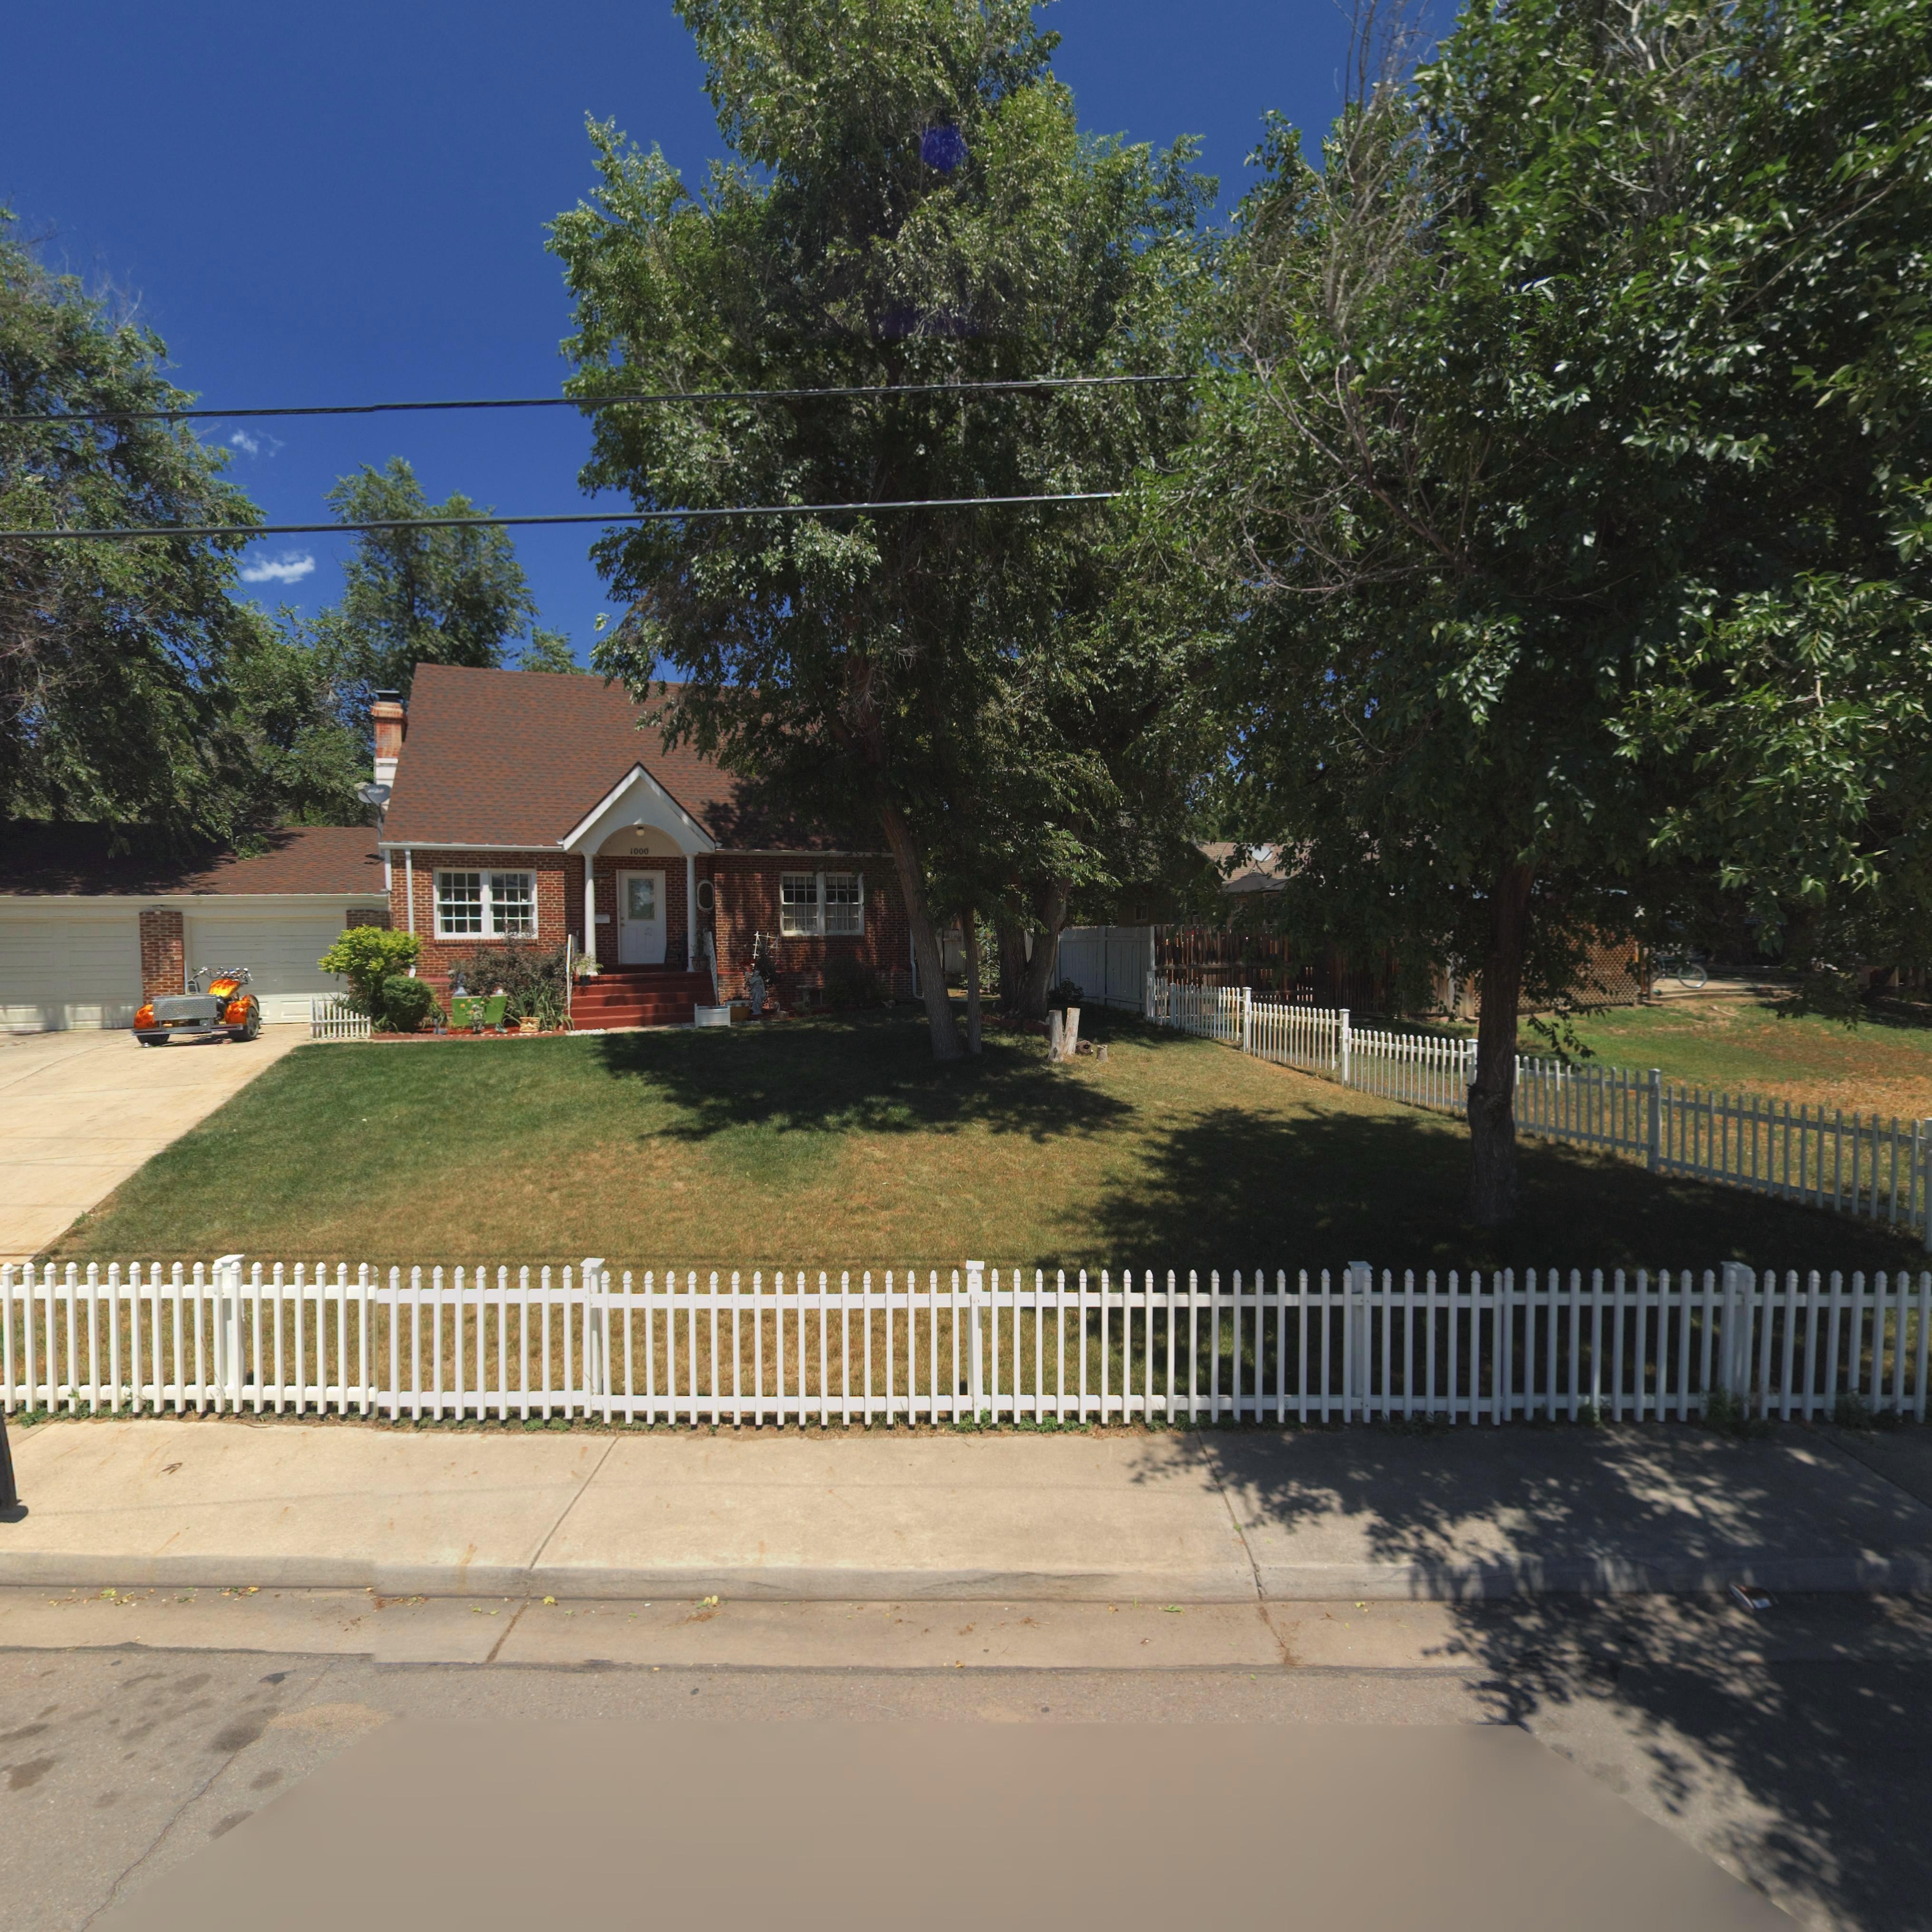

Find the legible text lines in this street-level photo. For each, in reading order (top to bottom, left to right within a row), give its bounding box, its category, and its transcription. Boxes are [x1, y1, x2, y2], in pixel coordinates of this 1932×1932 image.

[630, 848, 648, 855] StreetNumber: 1000